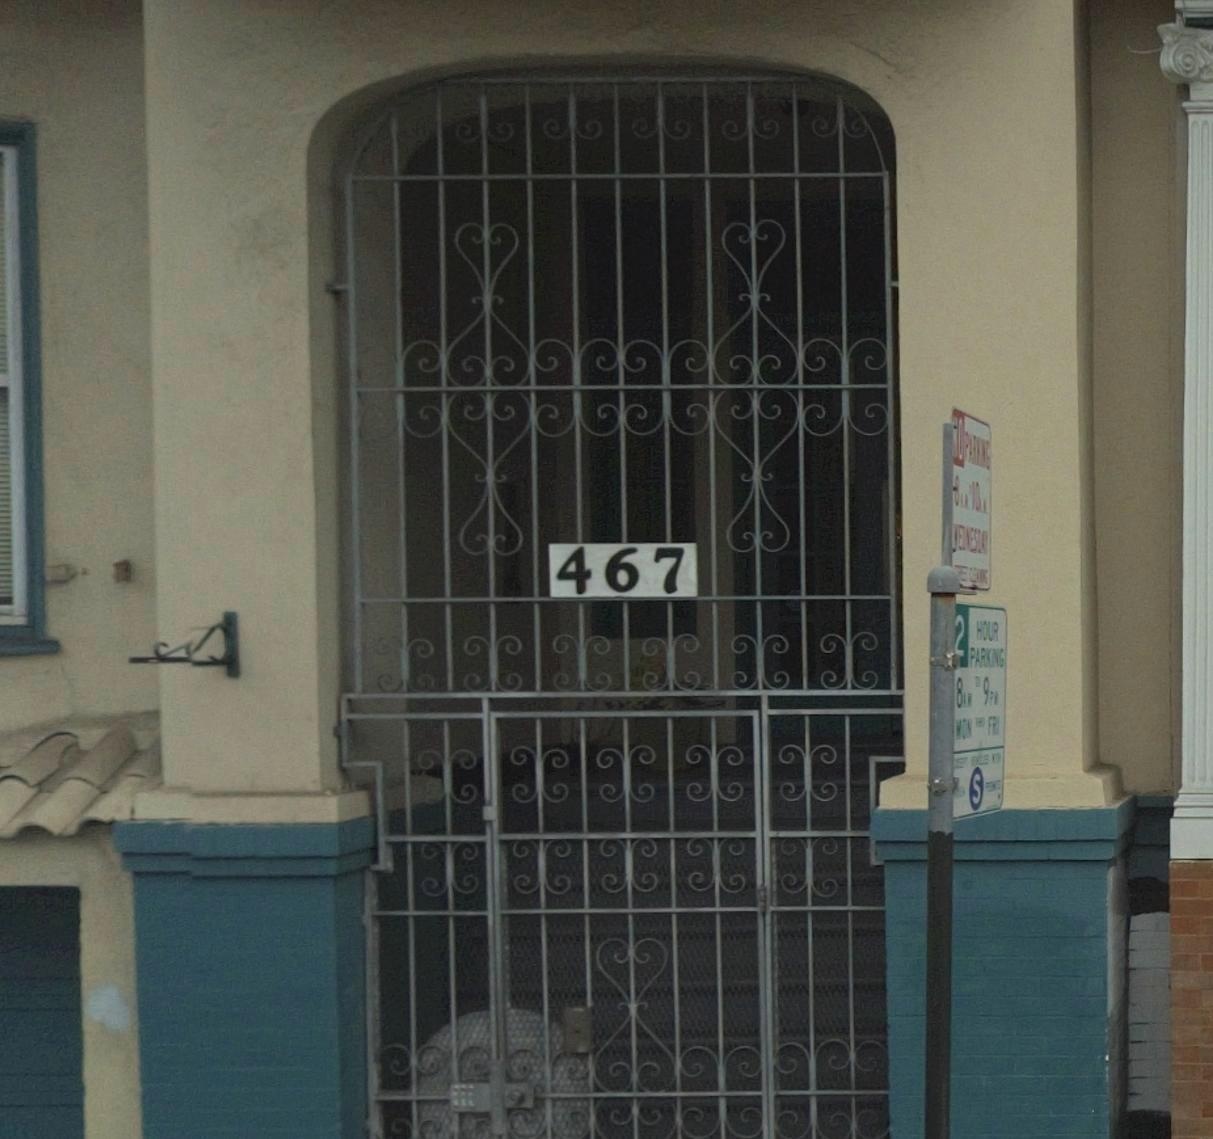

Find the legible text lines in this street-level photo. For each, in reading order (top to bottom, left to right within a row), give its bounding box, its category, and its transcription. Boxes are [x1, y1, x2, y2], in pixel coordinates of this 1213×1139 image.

[554, 544, 687, 596] StreetNumber: 467
[952, 612, 966, 659] None: 2
[974, 617, 1001, 643] None: HOUR
[968, 645, 1006, 669] None: PARKING
[954, 674, 965, 710] None: 8
[980, 674, 991, 706] None: 9
[971, 771, 983, 807] None: S